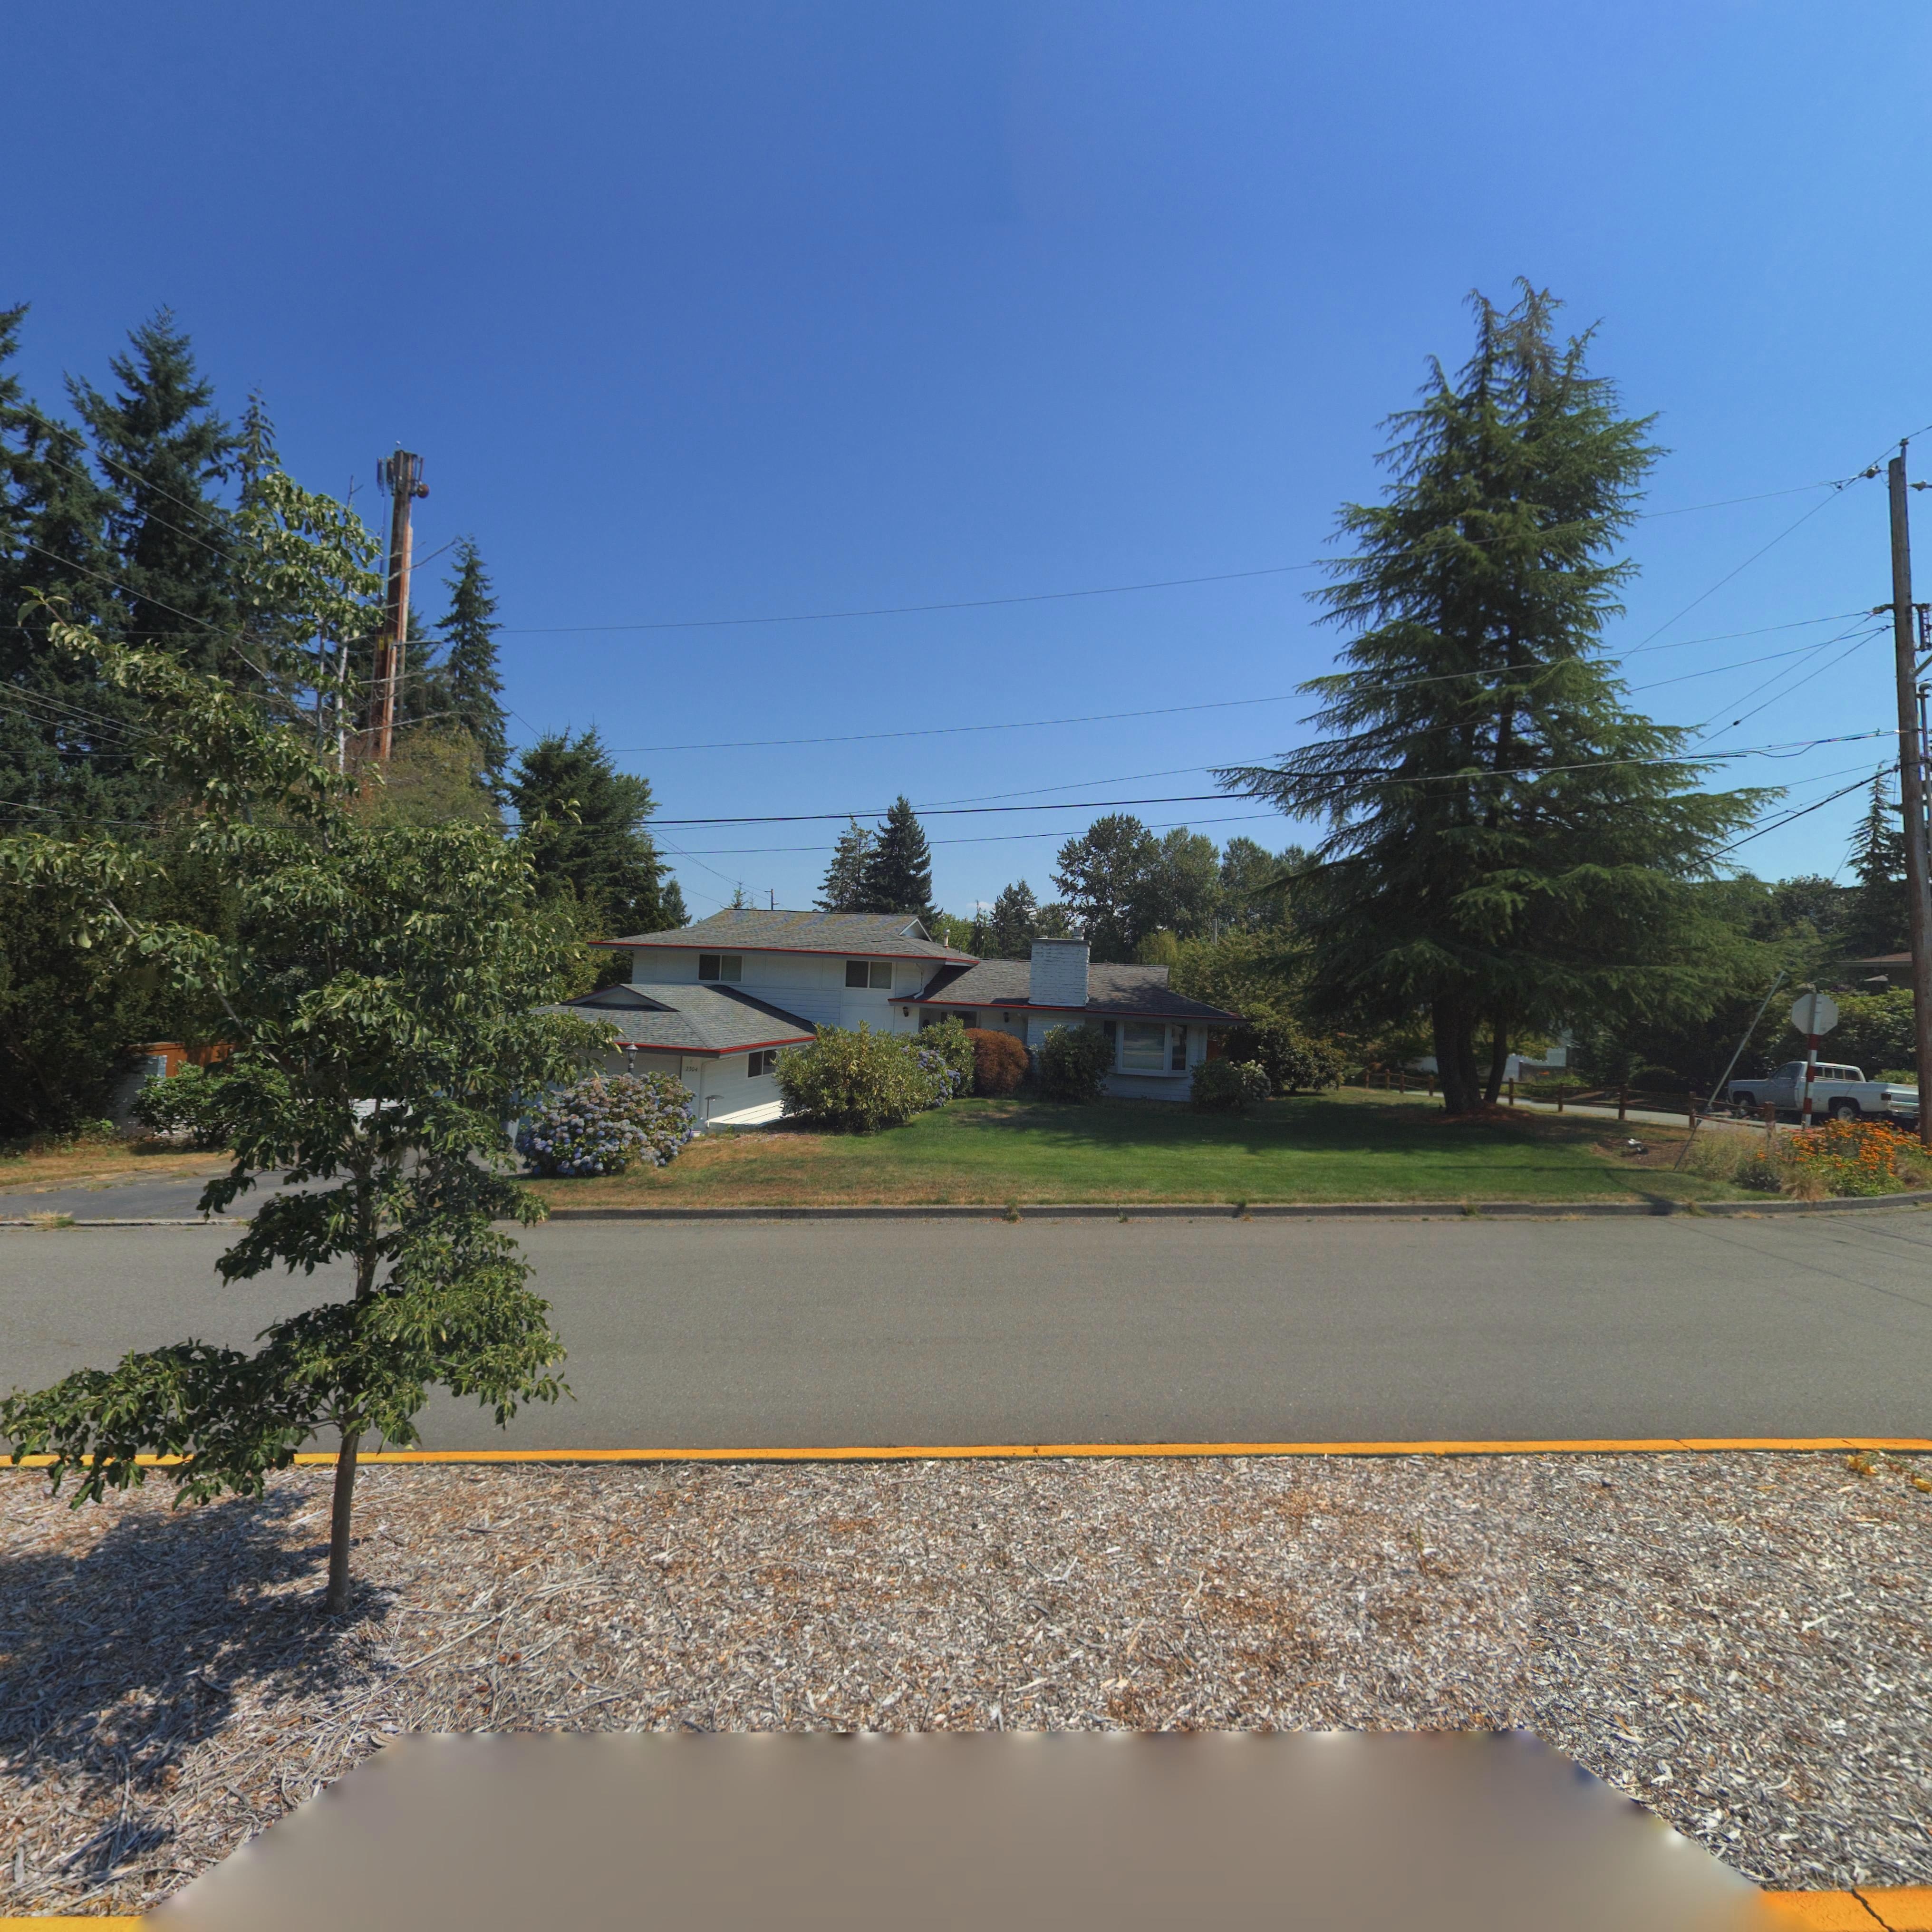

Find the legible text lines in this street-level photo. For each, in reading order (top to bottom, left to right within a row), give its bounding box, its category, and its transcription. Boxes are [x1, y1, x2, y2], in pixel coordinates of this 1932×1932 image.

[685, 1066, 698, 1072] StreetNumber: 2304